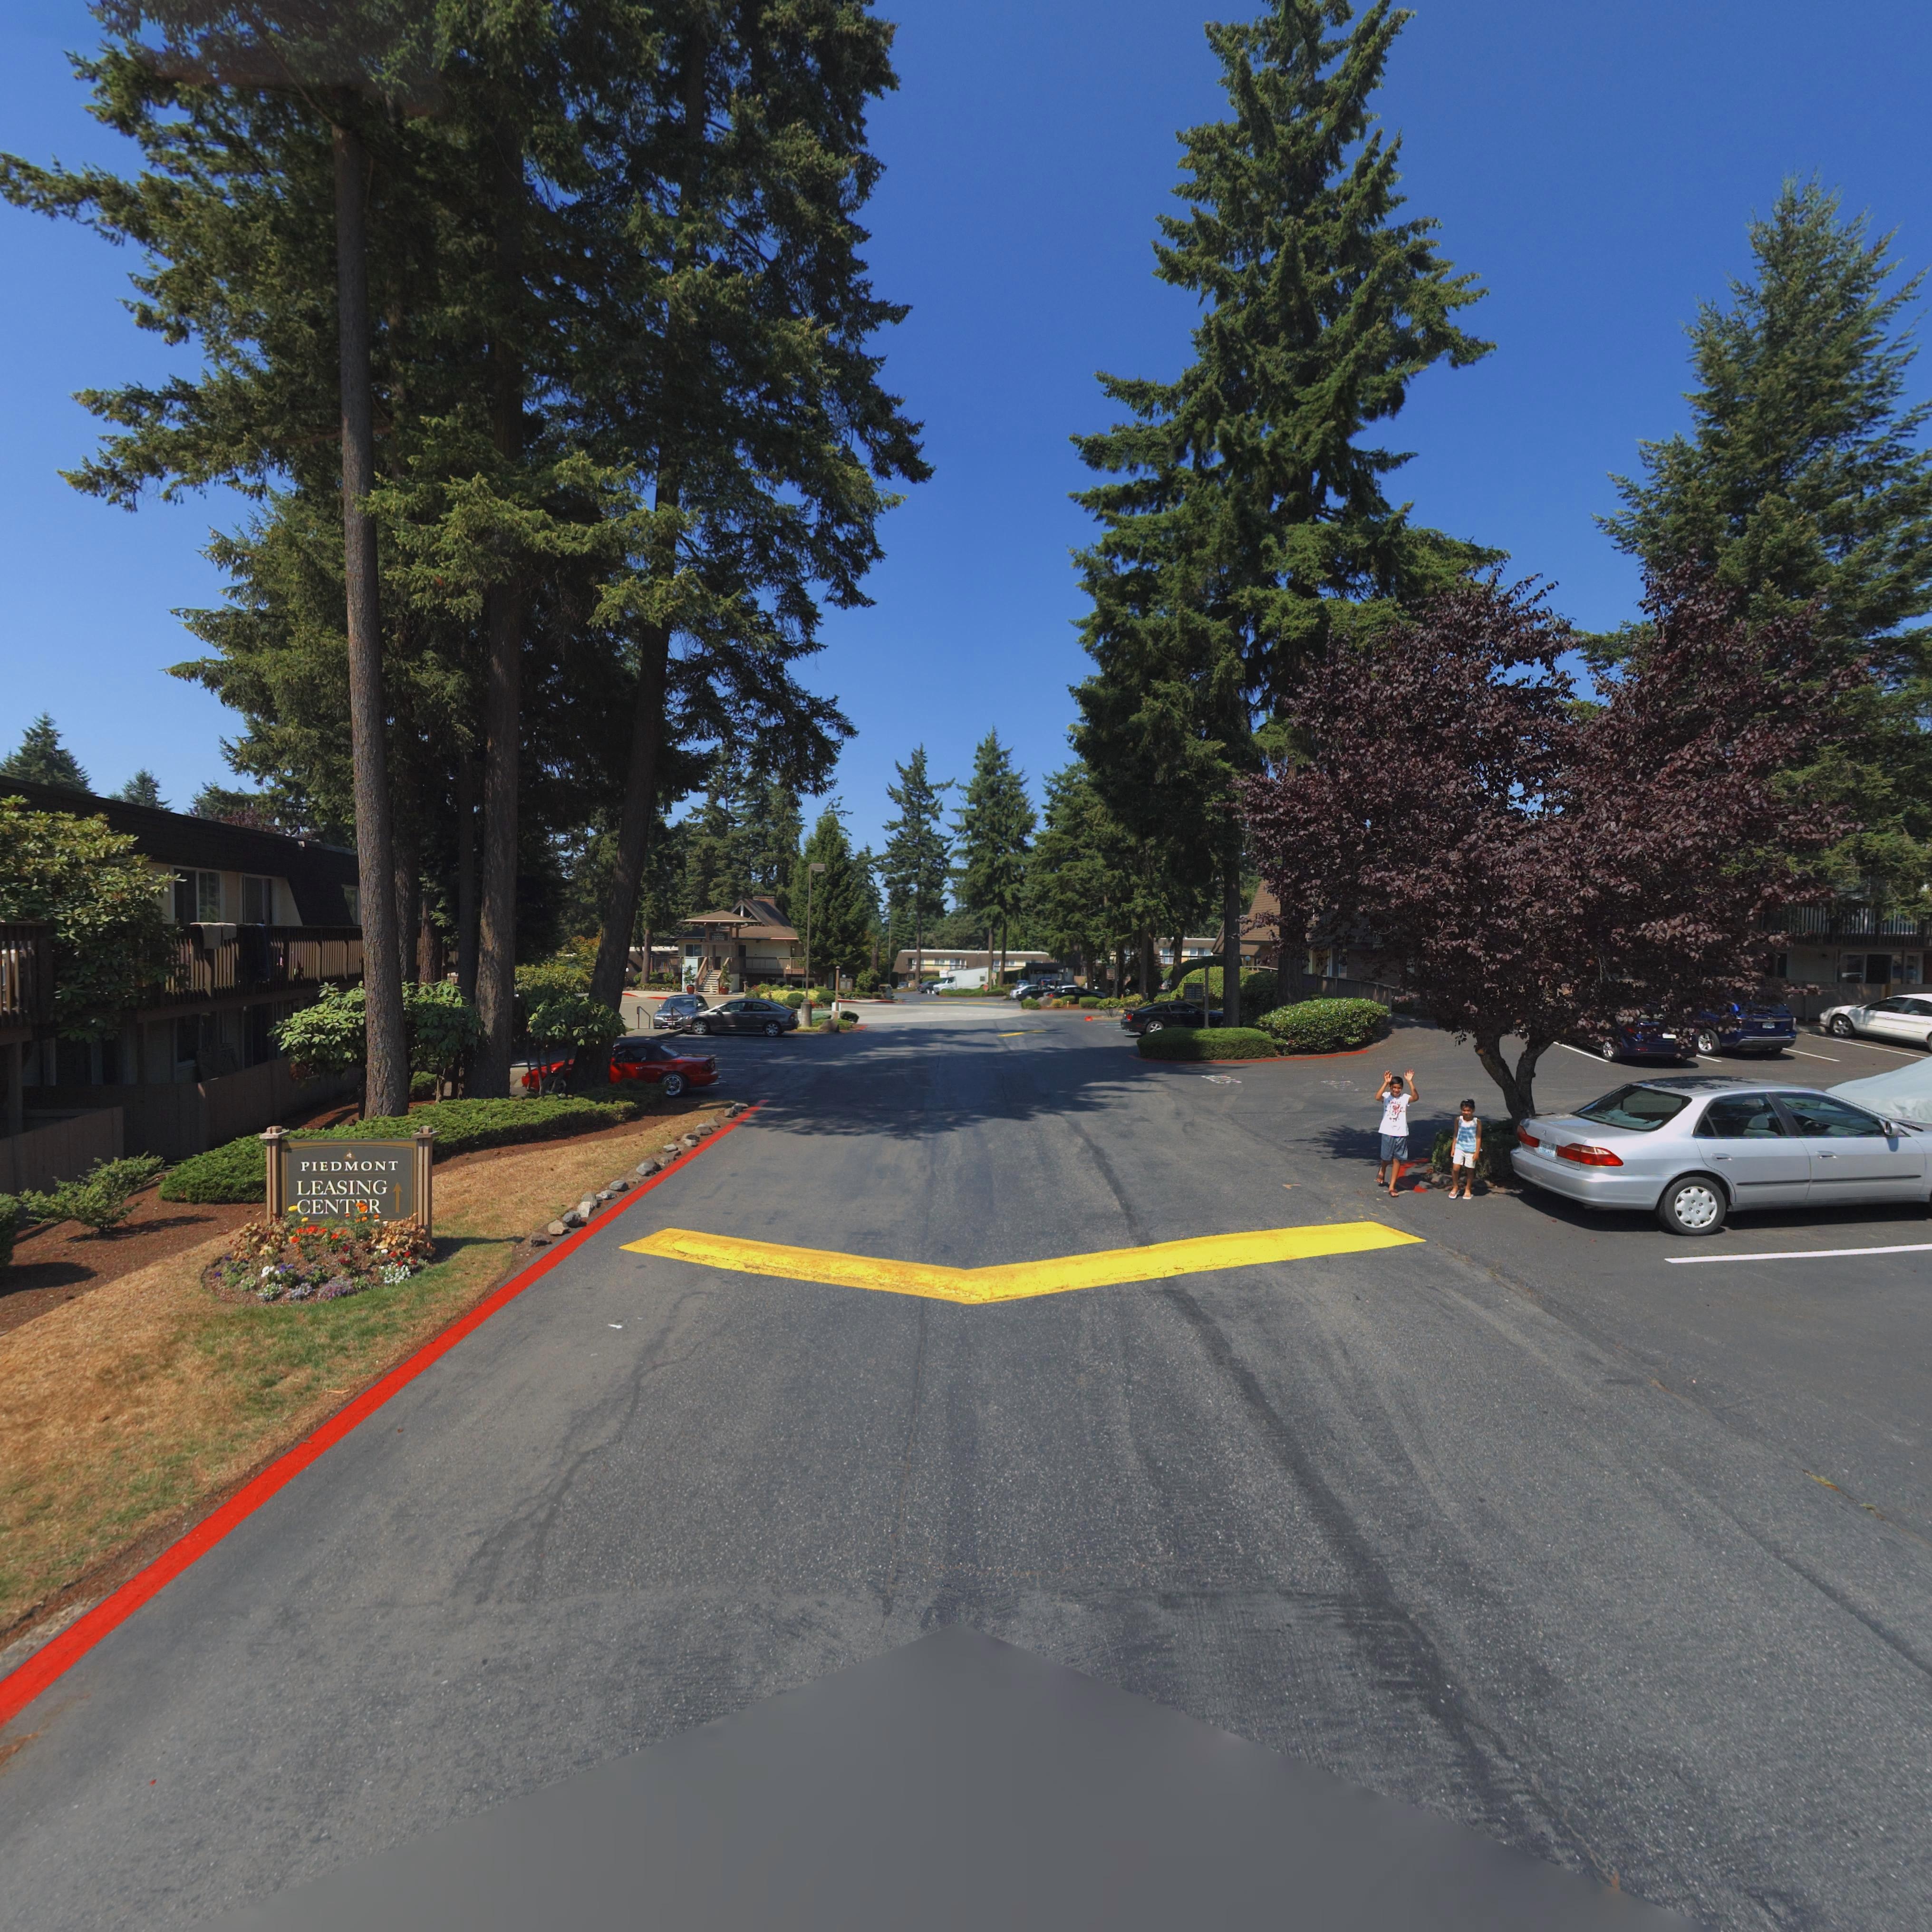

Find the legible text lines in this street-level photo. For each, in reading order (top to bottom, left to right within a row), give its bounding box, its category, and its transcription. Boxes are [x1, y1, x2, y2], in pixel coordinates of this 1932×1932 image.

[299, 1160, 399, 1172] BusinessName: PIEDMONT